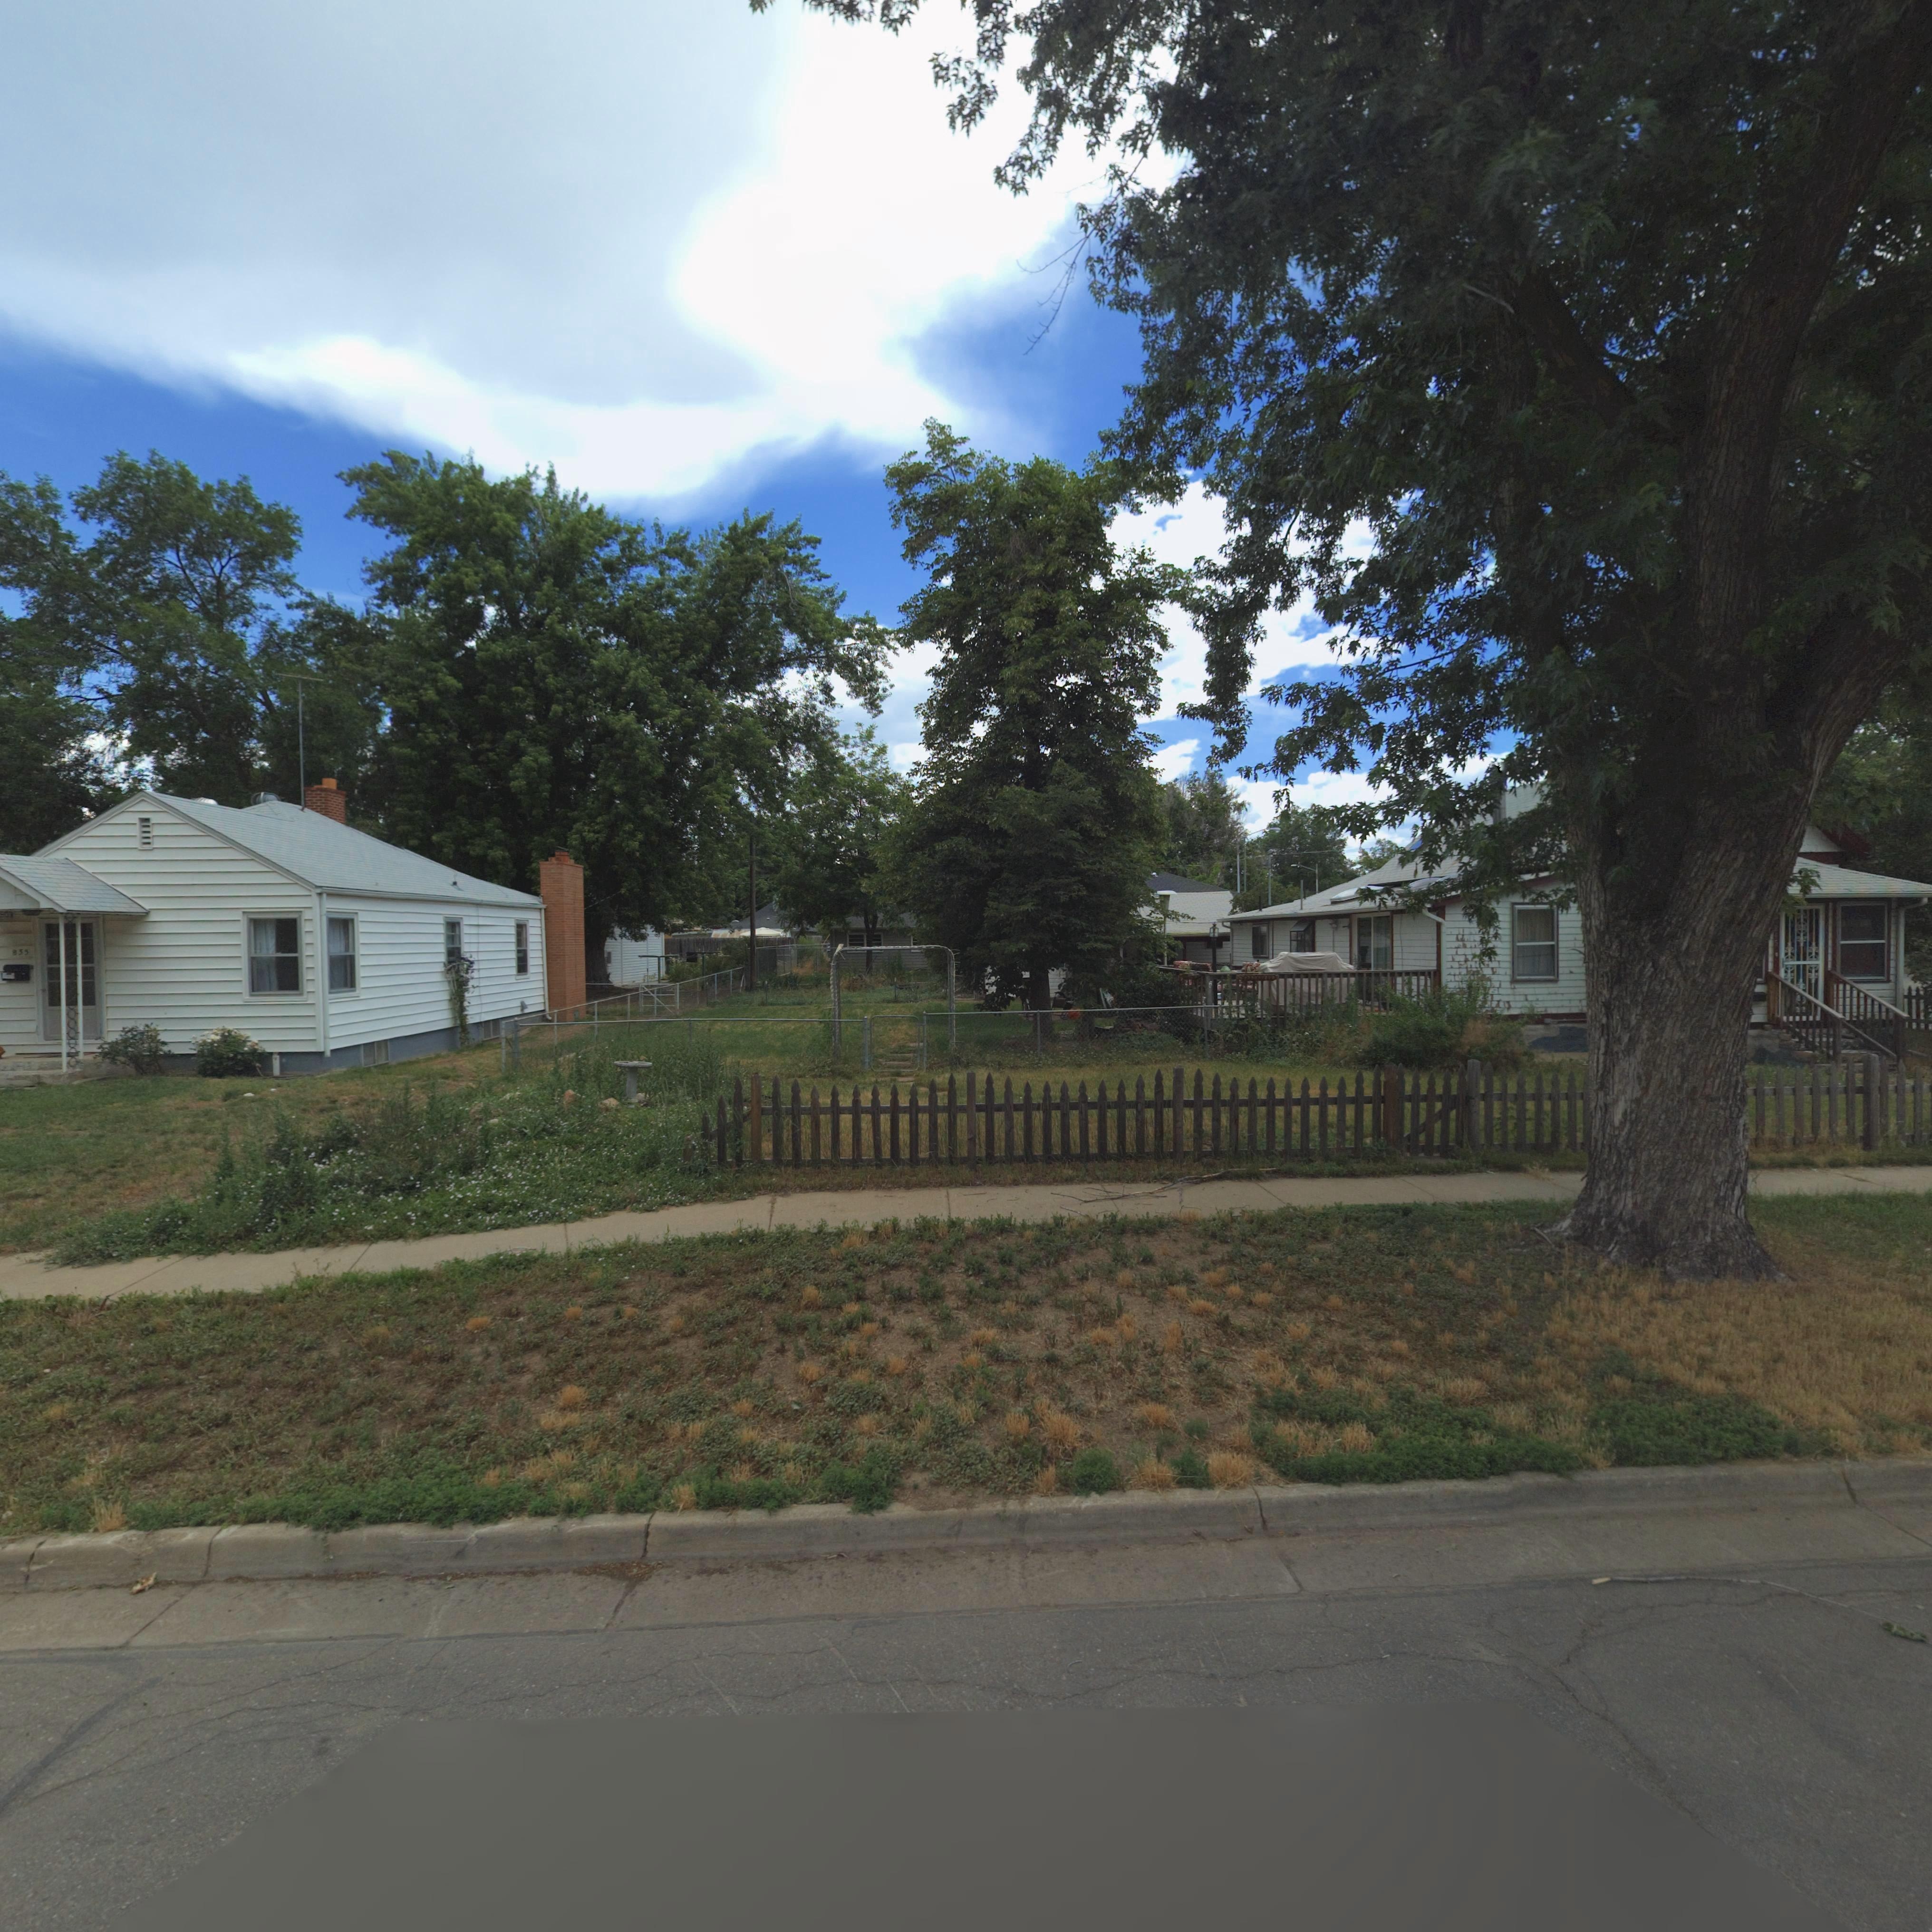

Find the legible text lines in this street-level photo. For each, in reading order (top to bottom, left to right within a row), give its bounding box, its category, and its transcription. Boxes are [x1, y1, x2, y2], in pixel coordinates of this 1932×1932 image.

[1774, 924, 1779, 947] StreetNumber: 8**
[11, 948, 29, 956] StreetNumber: 83*